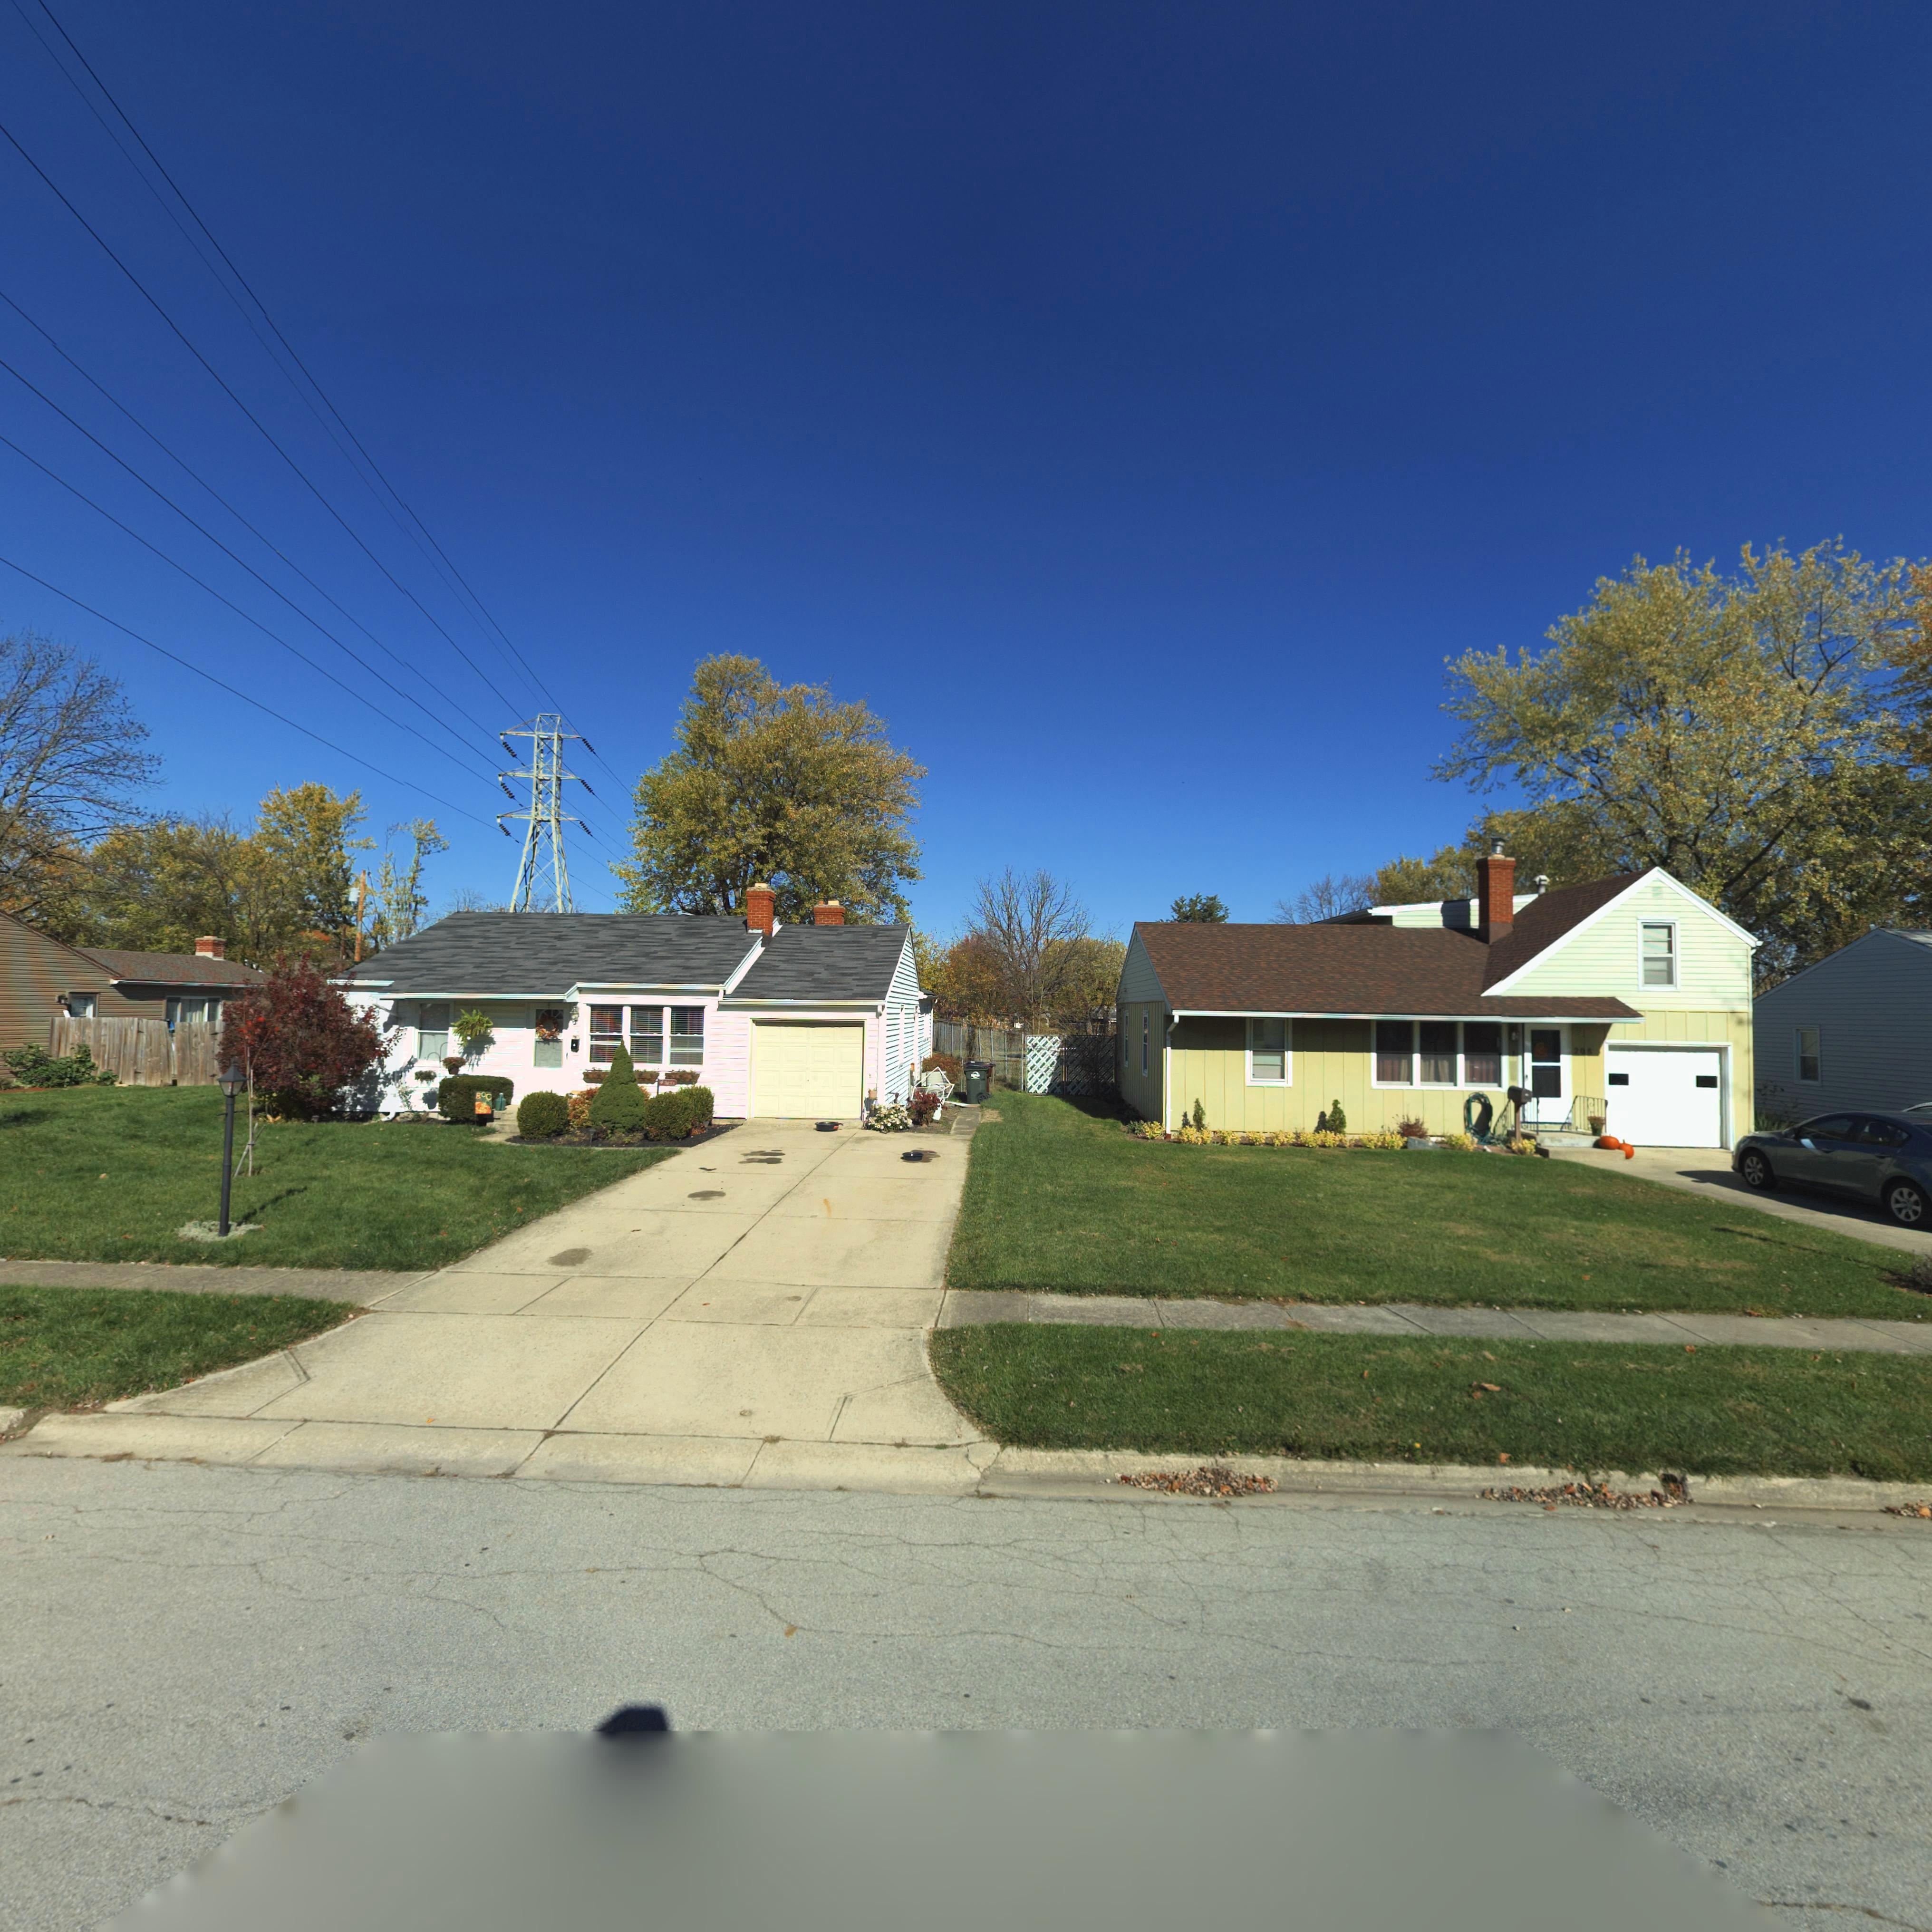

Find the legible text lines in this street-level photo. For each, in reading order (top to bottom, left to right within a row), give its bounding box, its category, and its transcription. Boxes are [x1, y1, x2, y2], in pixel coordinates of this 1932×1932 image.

[1573, 1046, 1594, 1056] StreetNumber: 20*